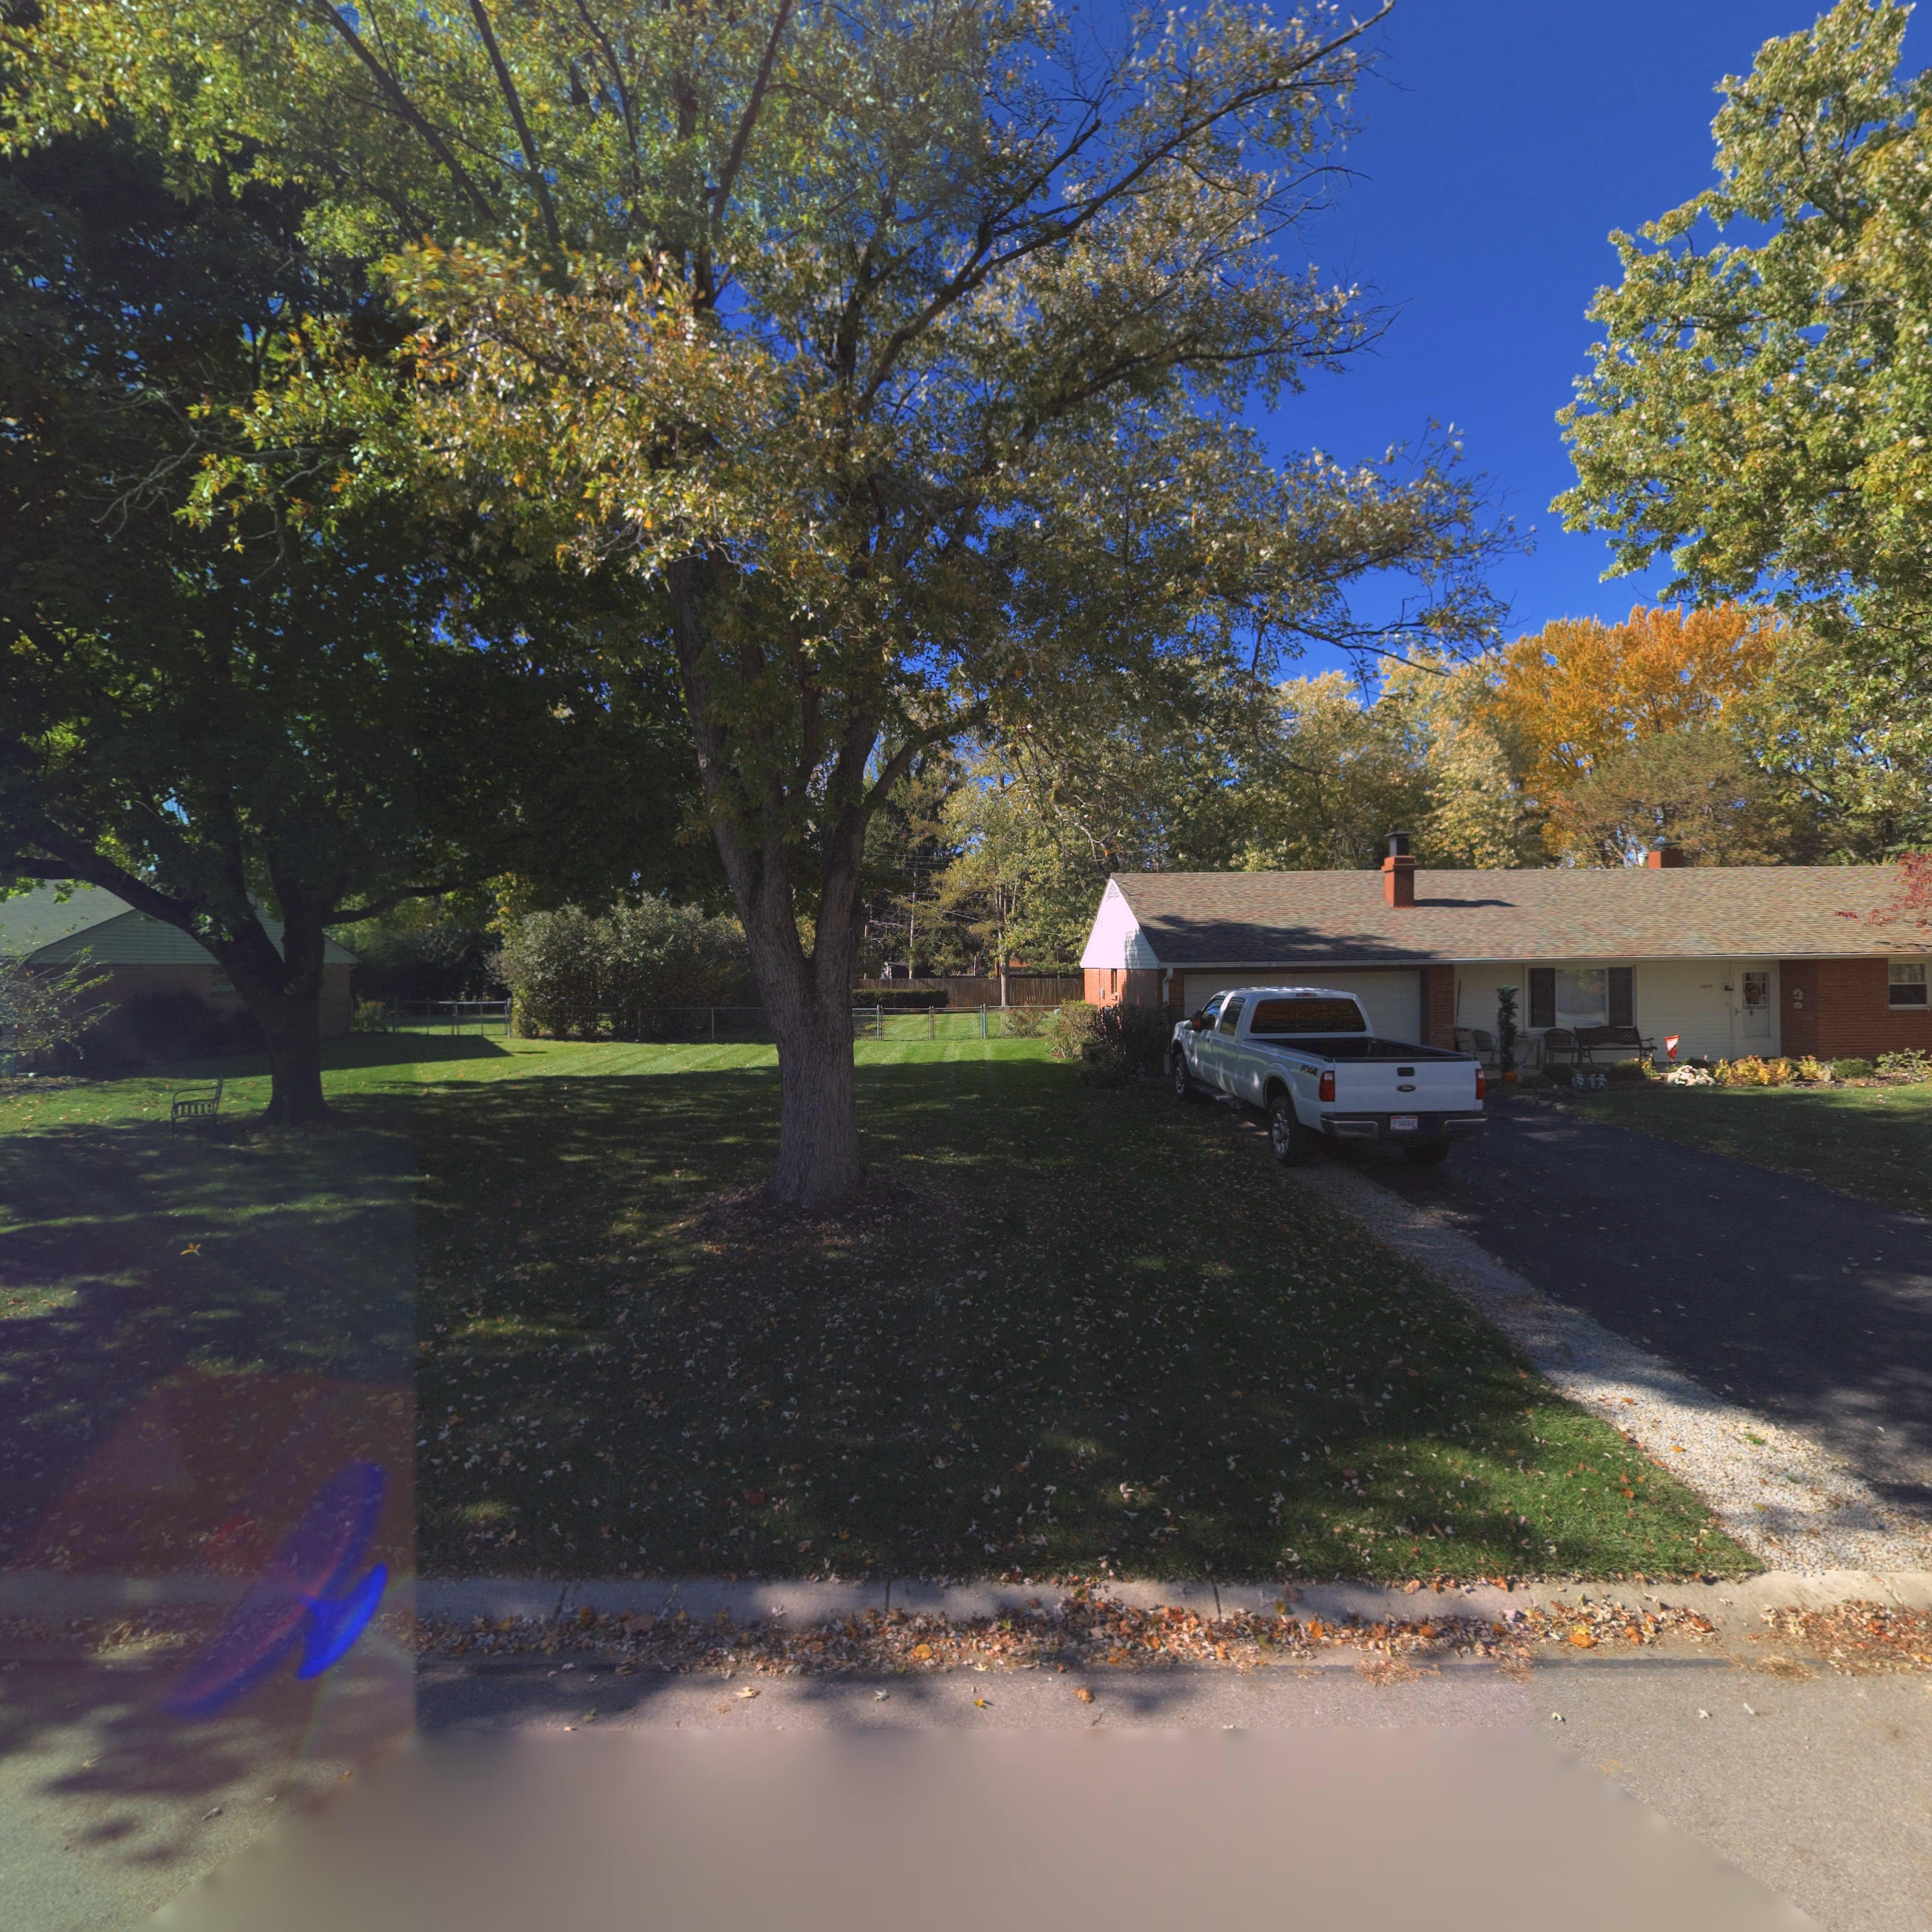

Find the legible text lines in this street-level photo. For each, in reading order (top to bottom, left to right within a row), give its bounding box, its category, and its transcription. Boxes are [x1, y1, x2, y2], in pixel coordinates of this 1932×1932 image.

[1700, 983, 1713, 989] StreetNumber: 66**
[1299, 1063, 1319, 1077] None: FX4
[1397, 1120, 1404, 1128] None: 34